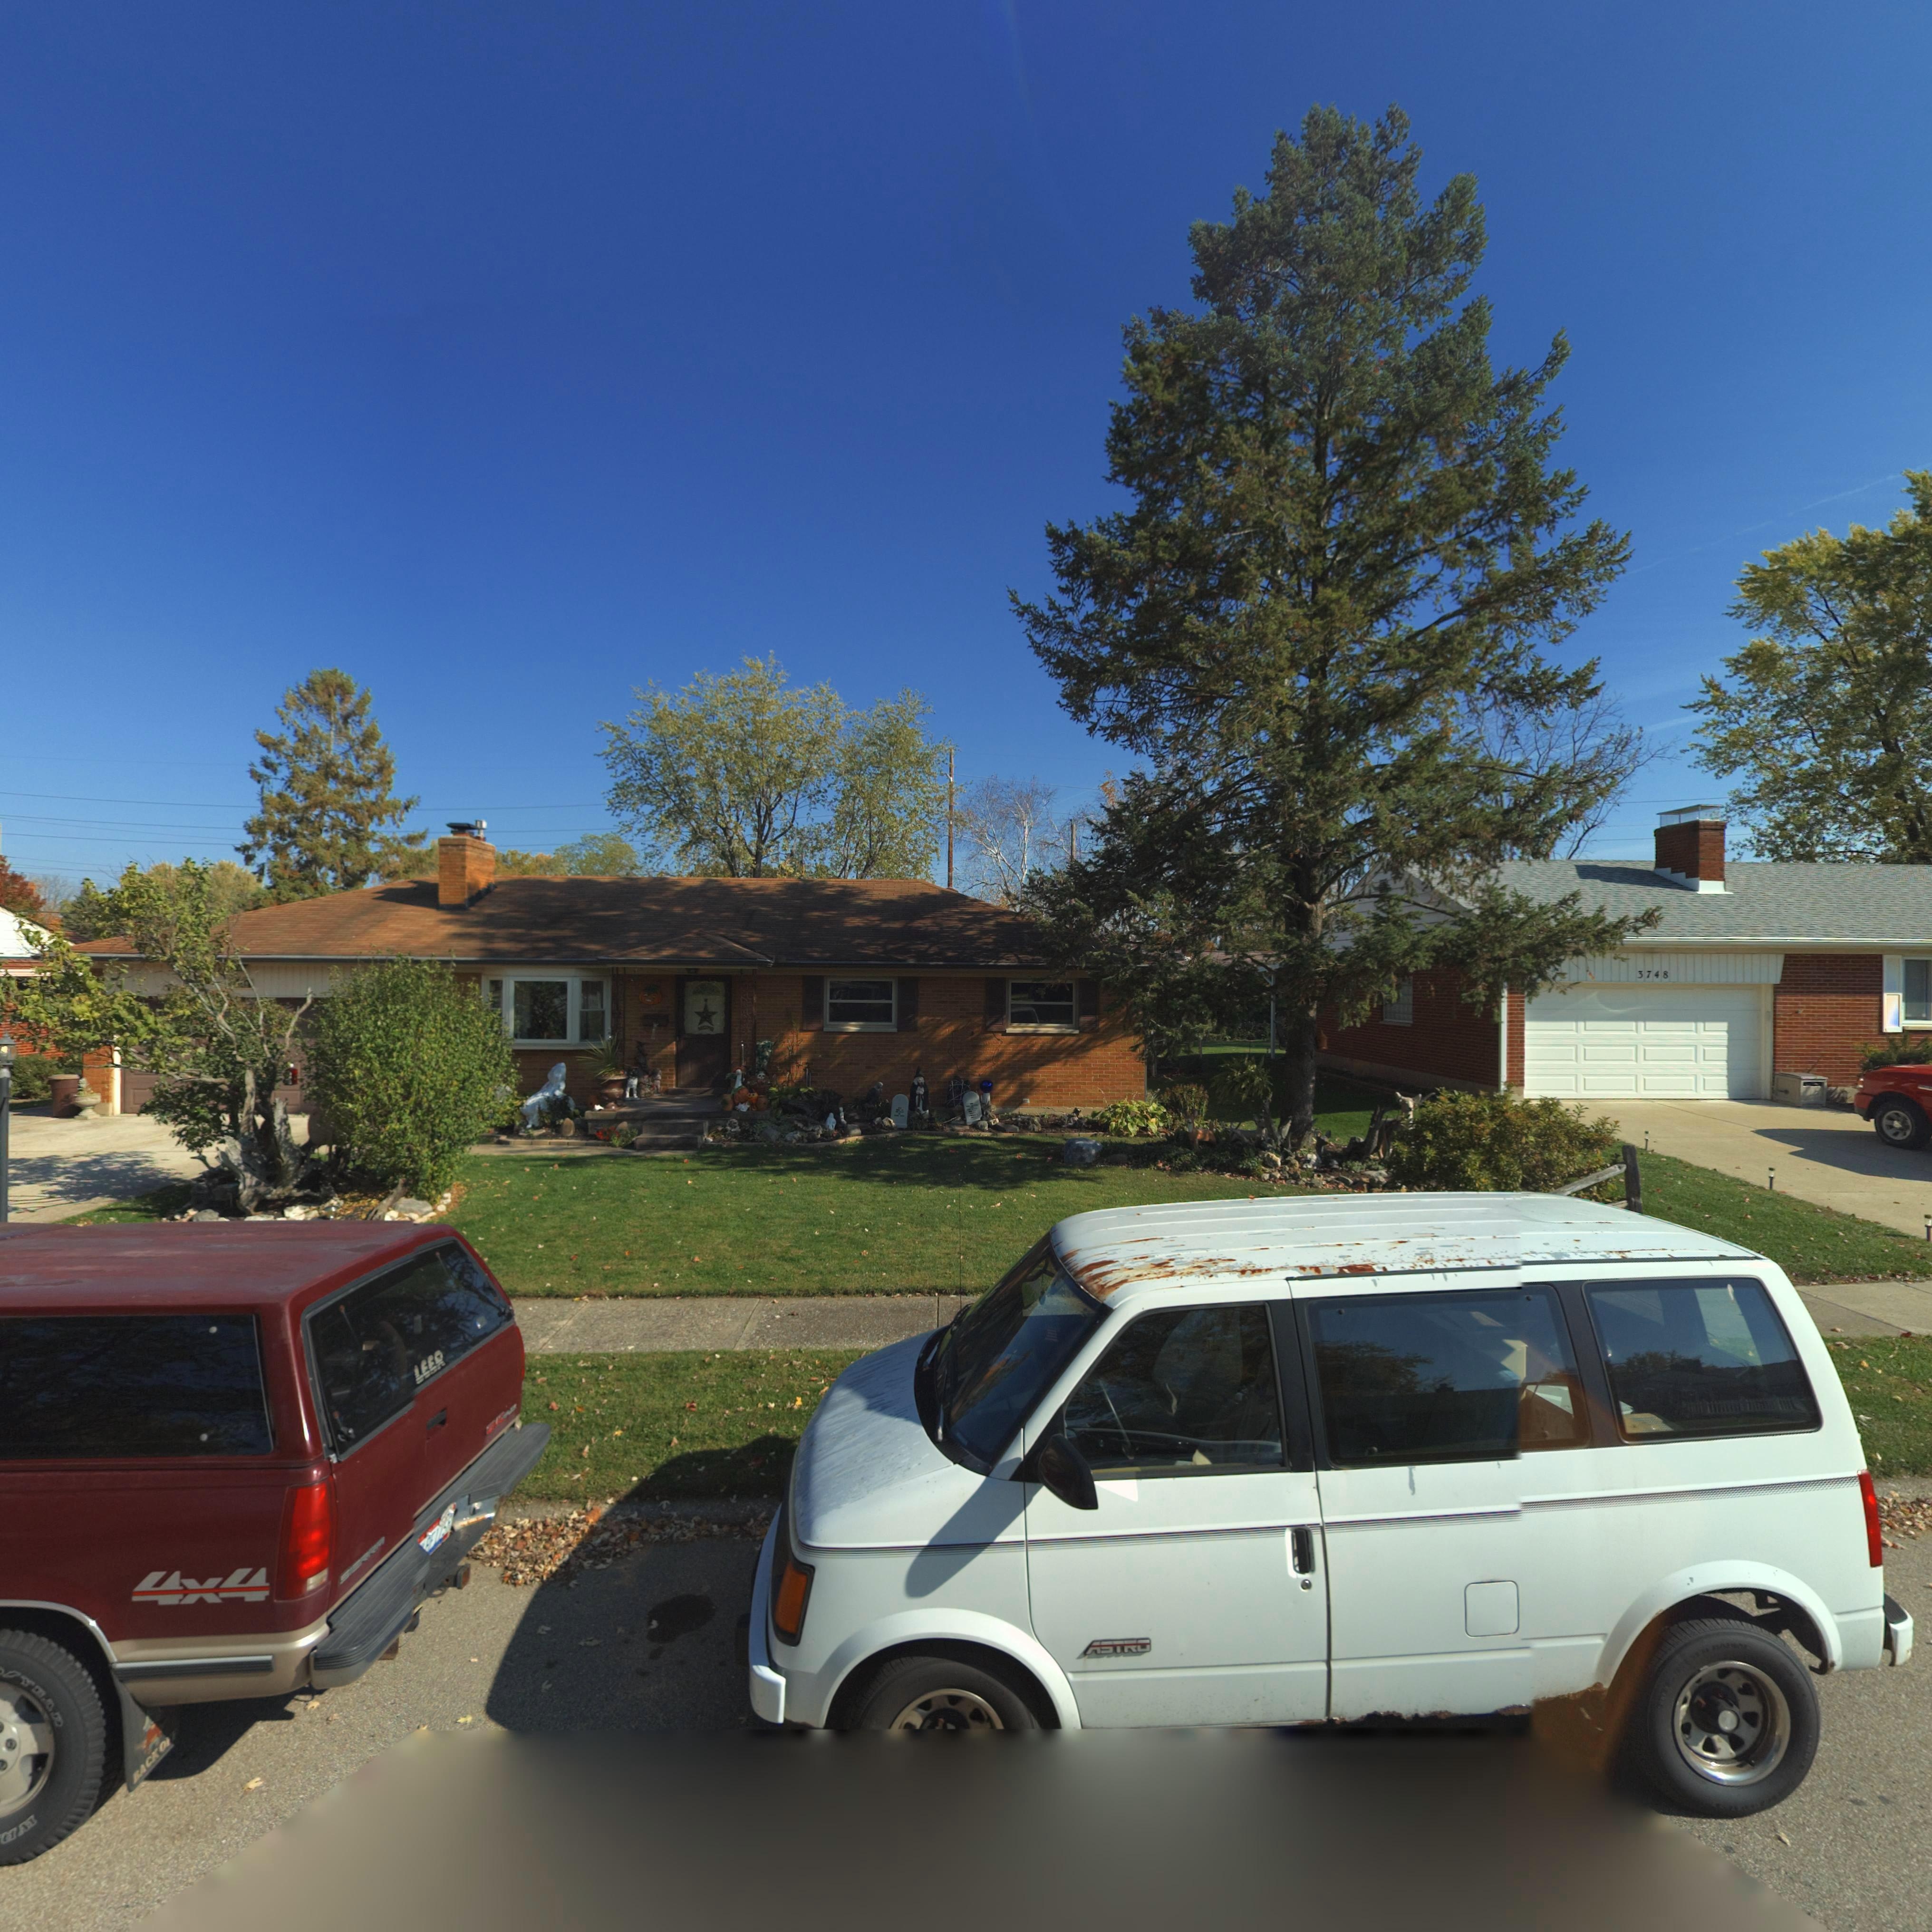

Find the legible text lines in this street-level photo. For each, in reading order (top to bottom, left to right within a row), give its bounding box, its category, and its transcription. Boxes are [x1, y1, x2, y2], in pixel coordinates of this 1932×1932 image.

[1636, 969, 1670, 980] StreetNumber: 3748